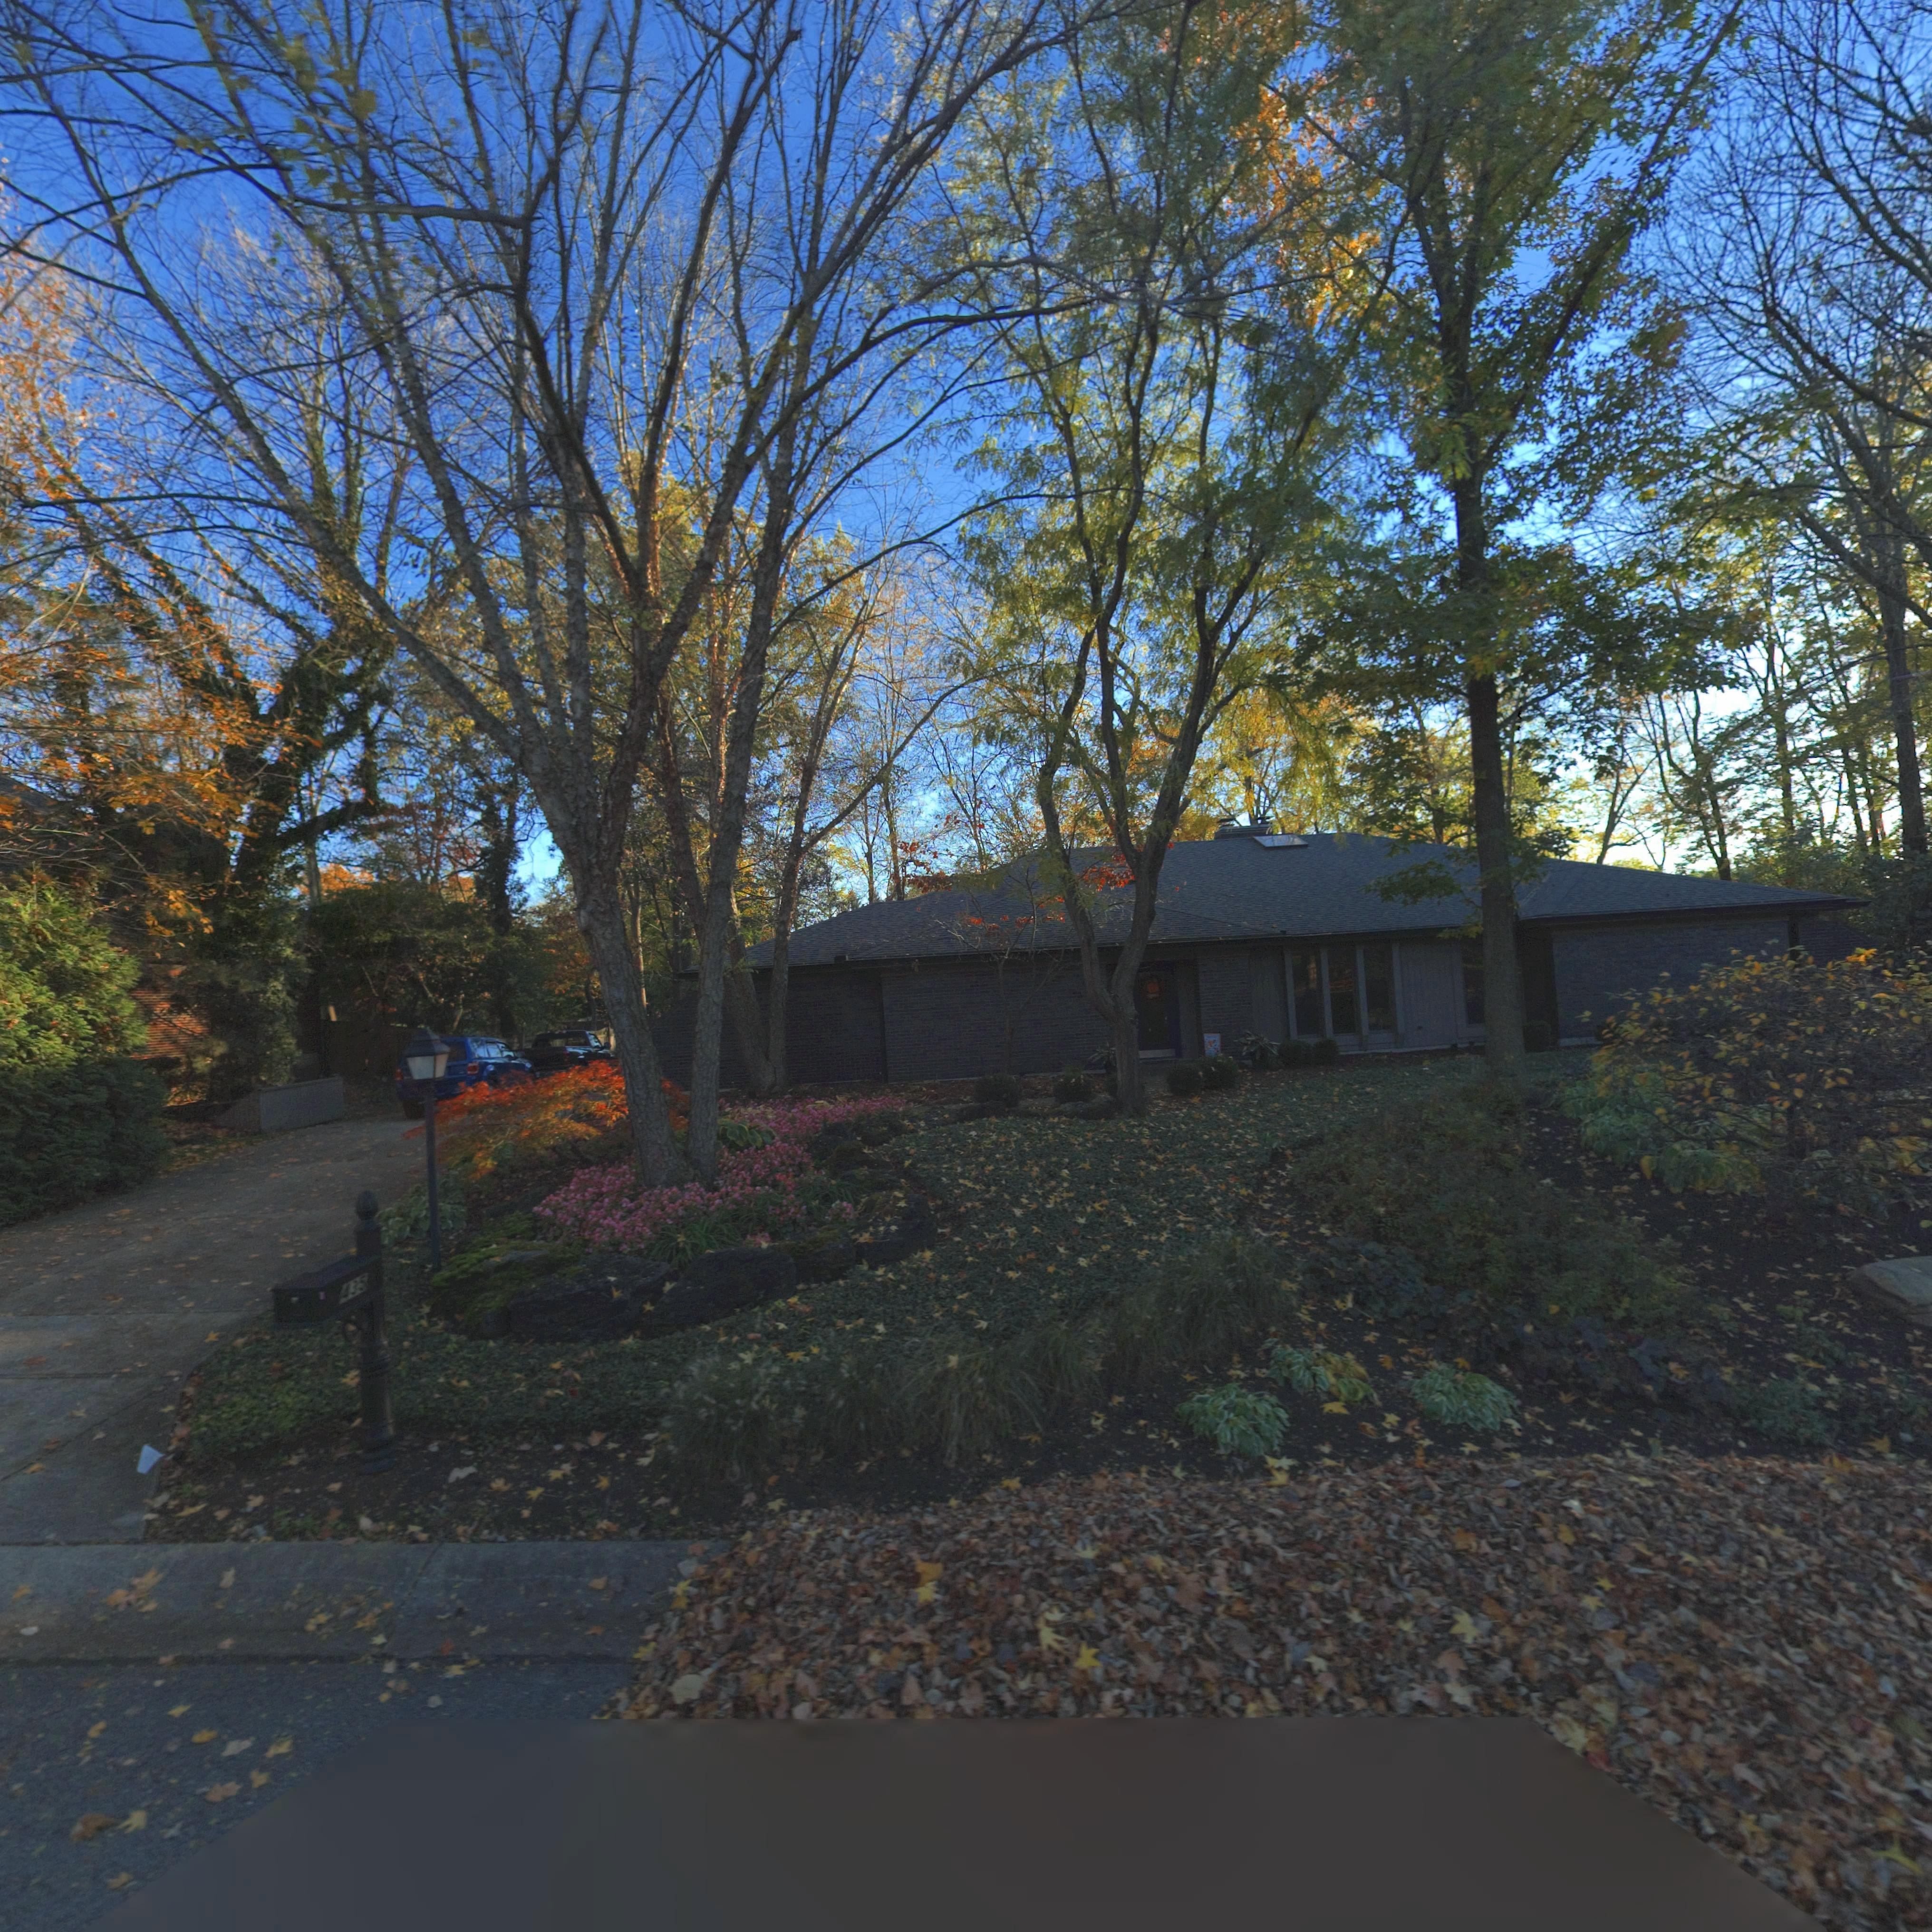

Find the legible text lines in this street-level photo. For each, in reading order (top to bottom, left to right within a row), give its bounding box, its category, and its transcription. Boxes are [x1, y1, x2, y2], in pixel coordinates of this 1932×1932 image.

[340, 1274, 368, 1302] StreetNumber: 435